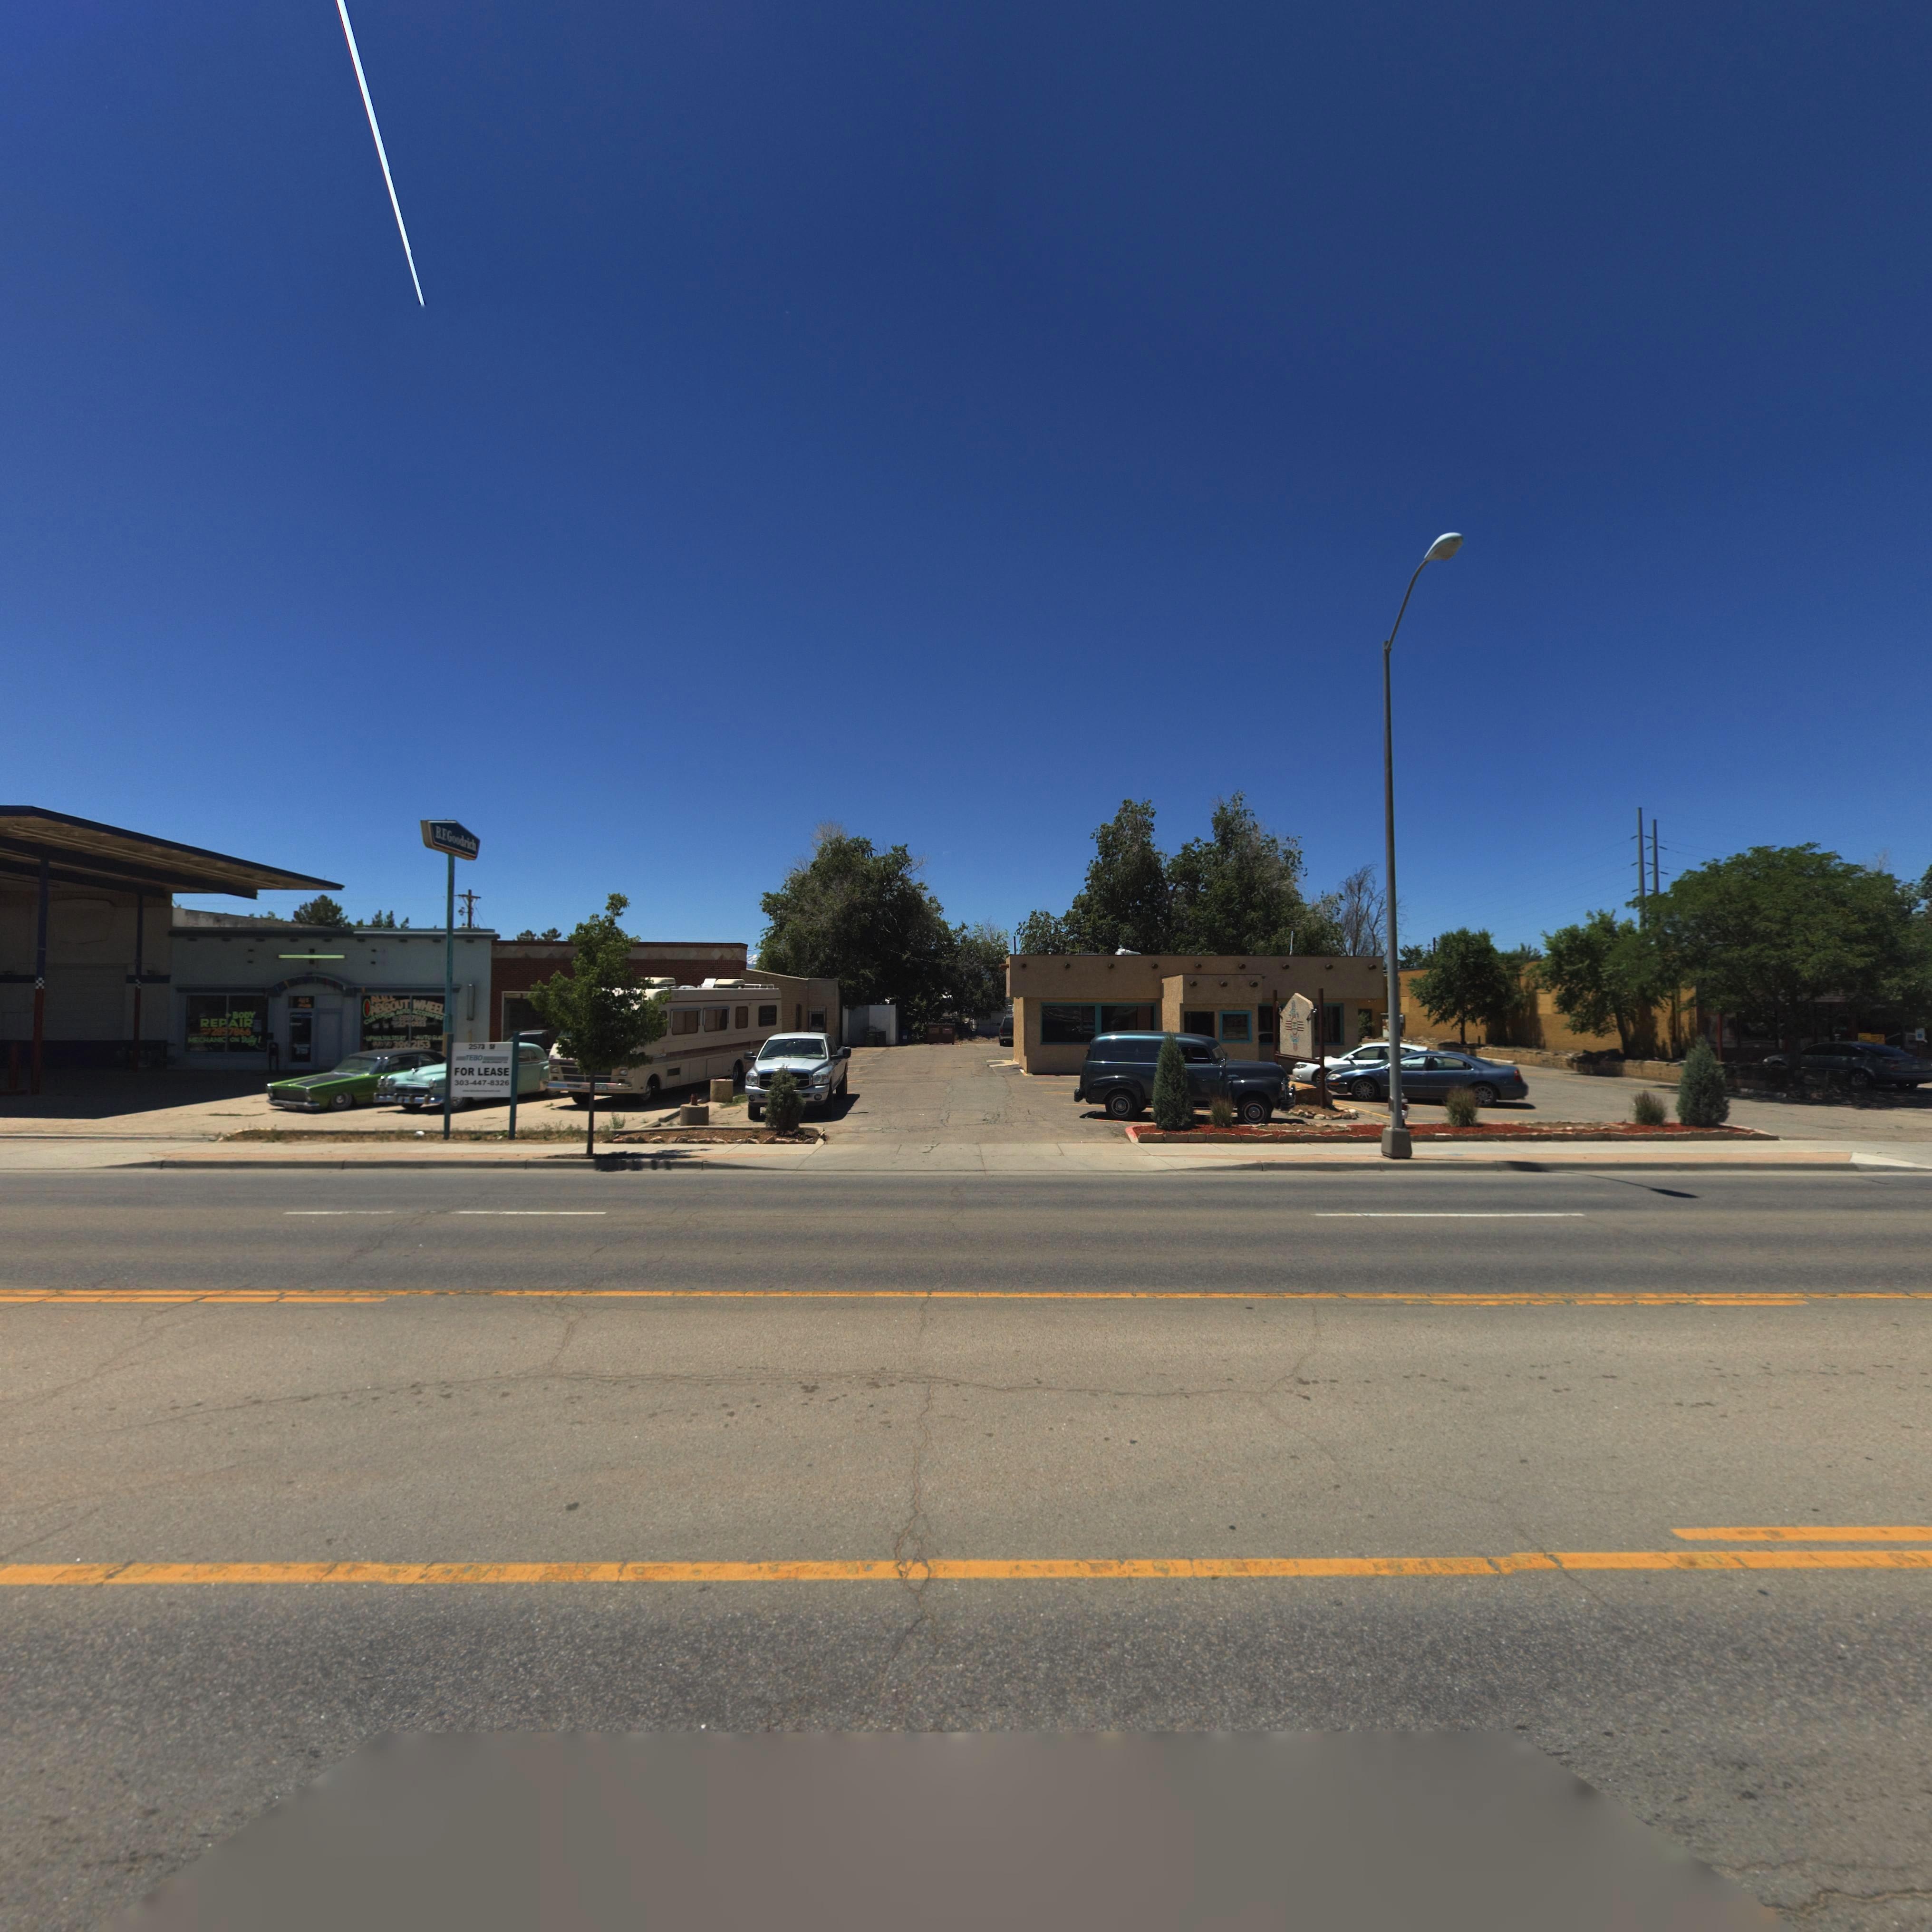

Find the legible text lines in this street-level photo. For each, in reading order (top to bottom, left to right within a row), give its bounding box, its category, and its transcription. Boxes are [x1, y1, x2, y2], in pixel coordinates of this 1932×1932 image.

[435, 825, 477, 851] BusinessName: BF Goodrich
[298, 996, 306, 1004] StreetNumber: 4*
[305, 997, 309, 1003] StreetName: s
[370, 995, 396, 1005] BusinessName: ALLLL
[298, 1003, 312, 1008] StreetName: M***
[370, 998, 445, 1017] BusinessName: AB*BOUT WHEEL